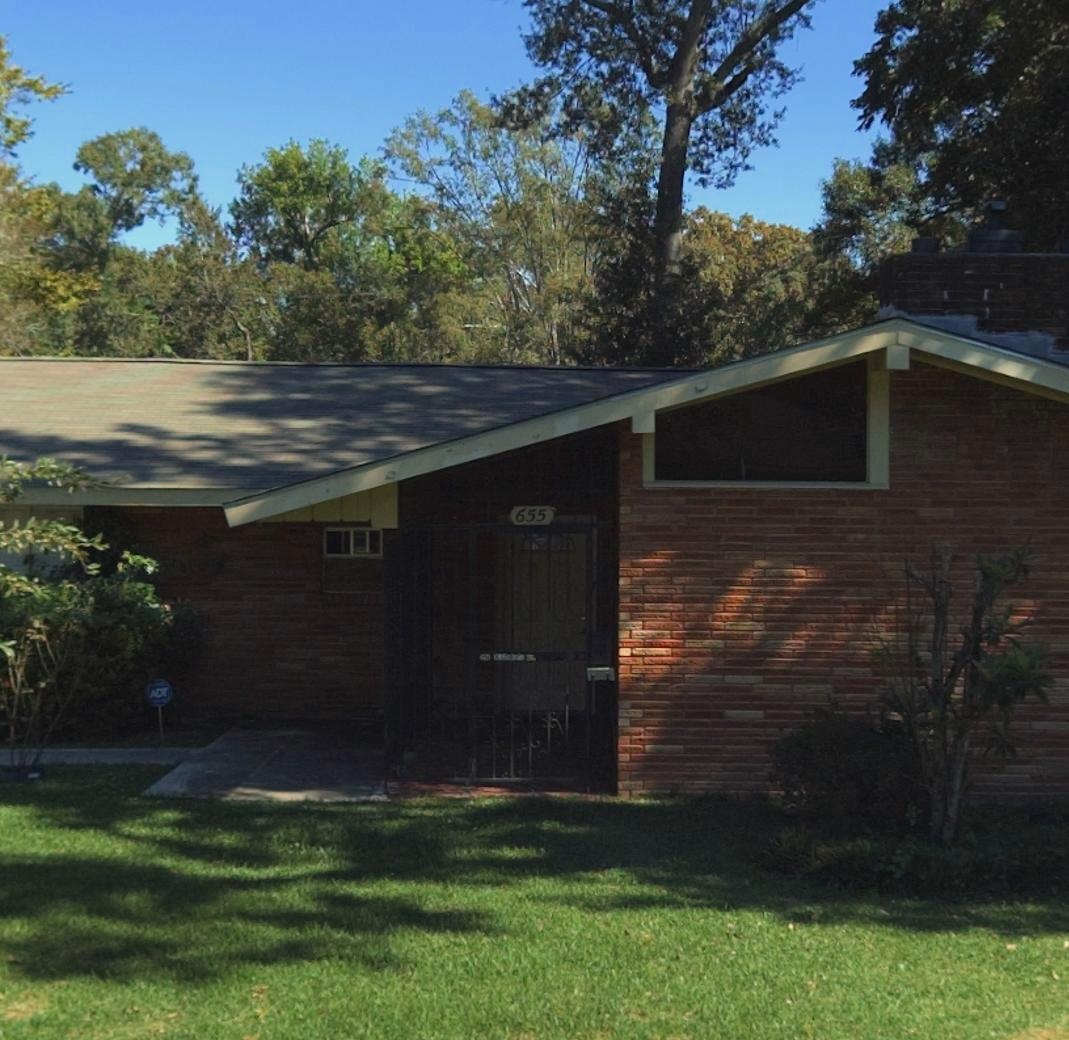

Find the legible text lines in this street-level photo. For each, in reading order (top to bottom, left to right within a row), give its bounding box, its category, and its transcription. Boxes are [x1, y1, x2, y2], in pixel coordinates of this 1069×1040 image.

[513, 506, 549, 524] StreetNumber: 655